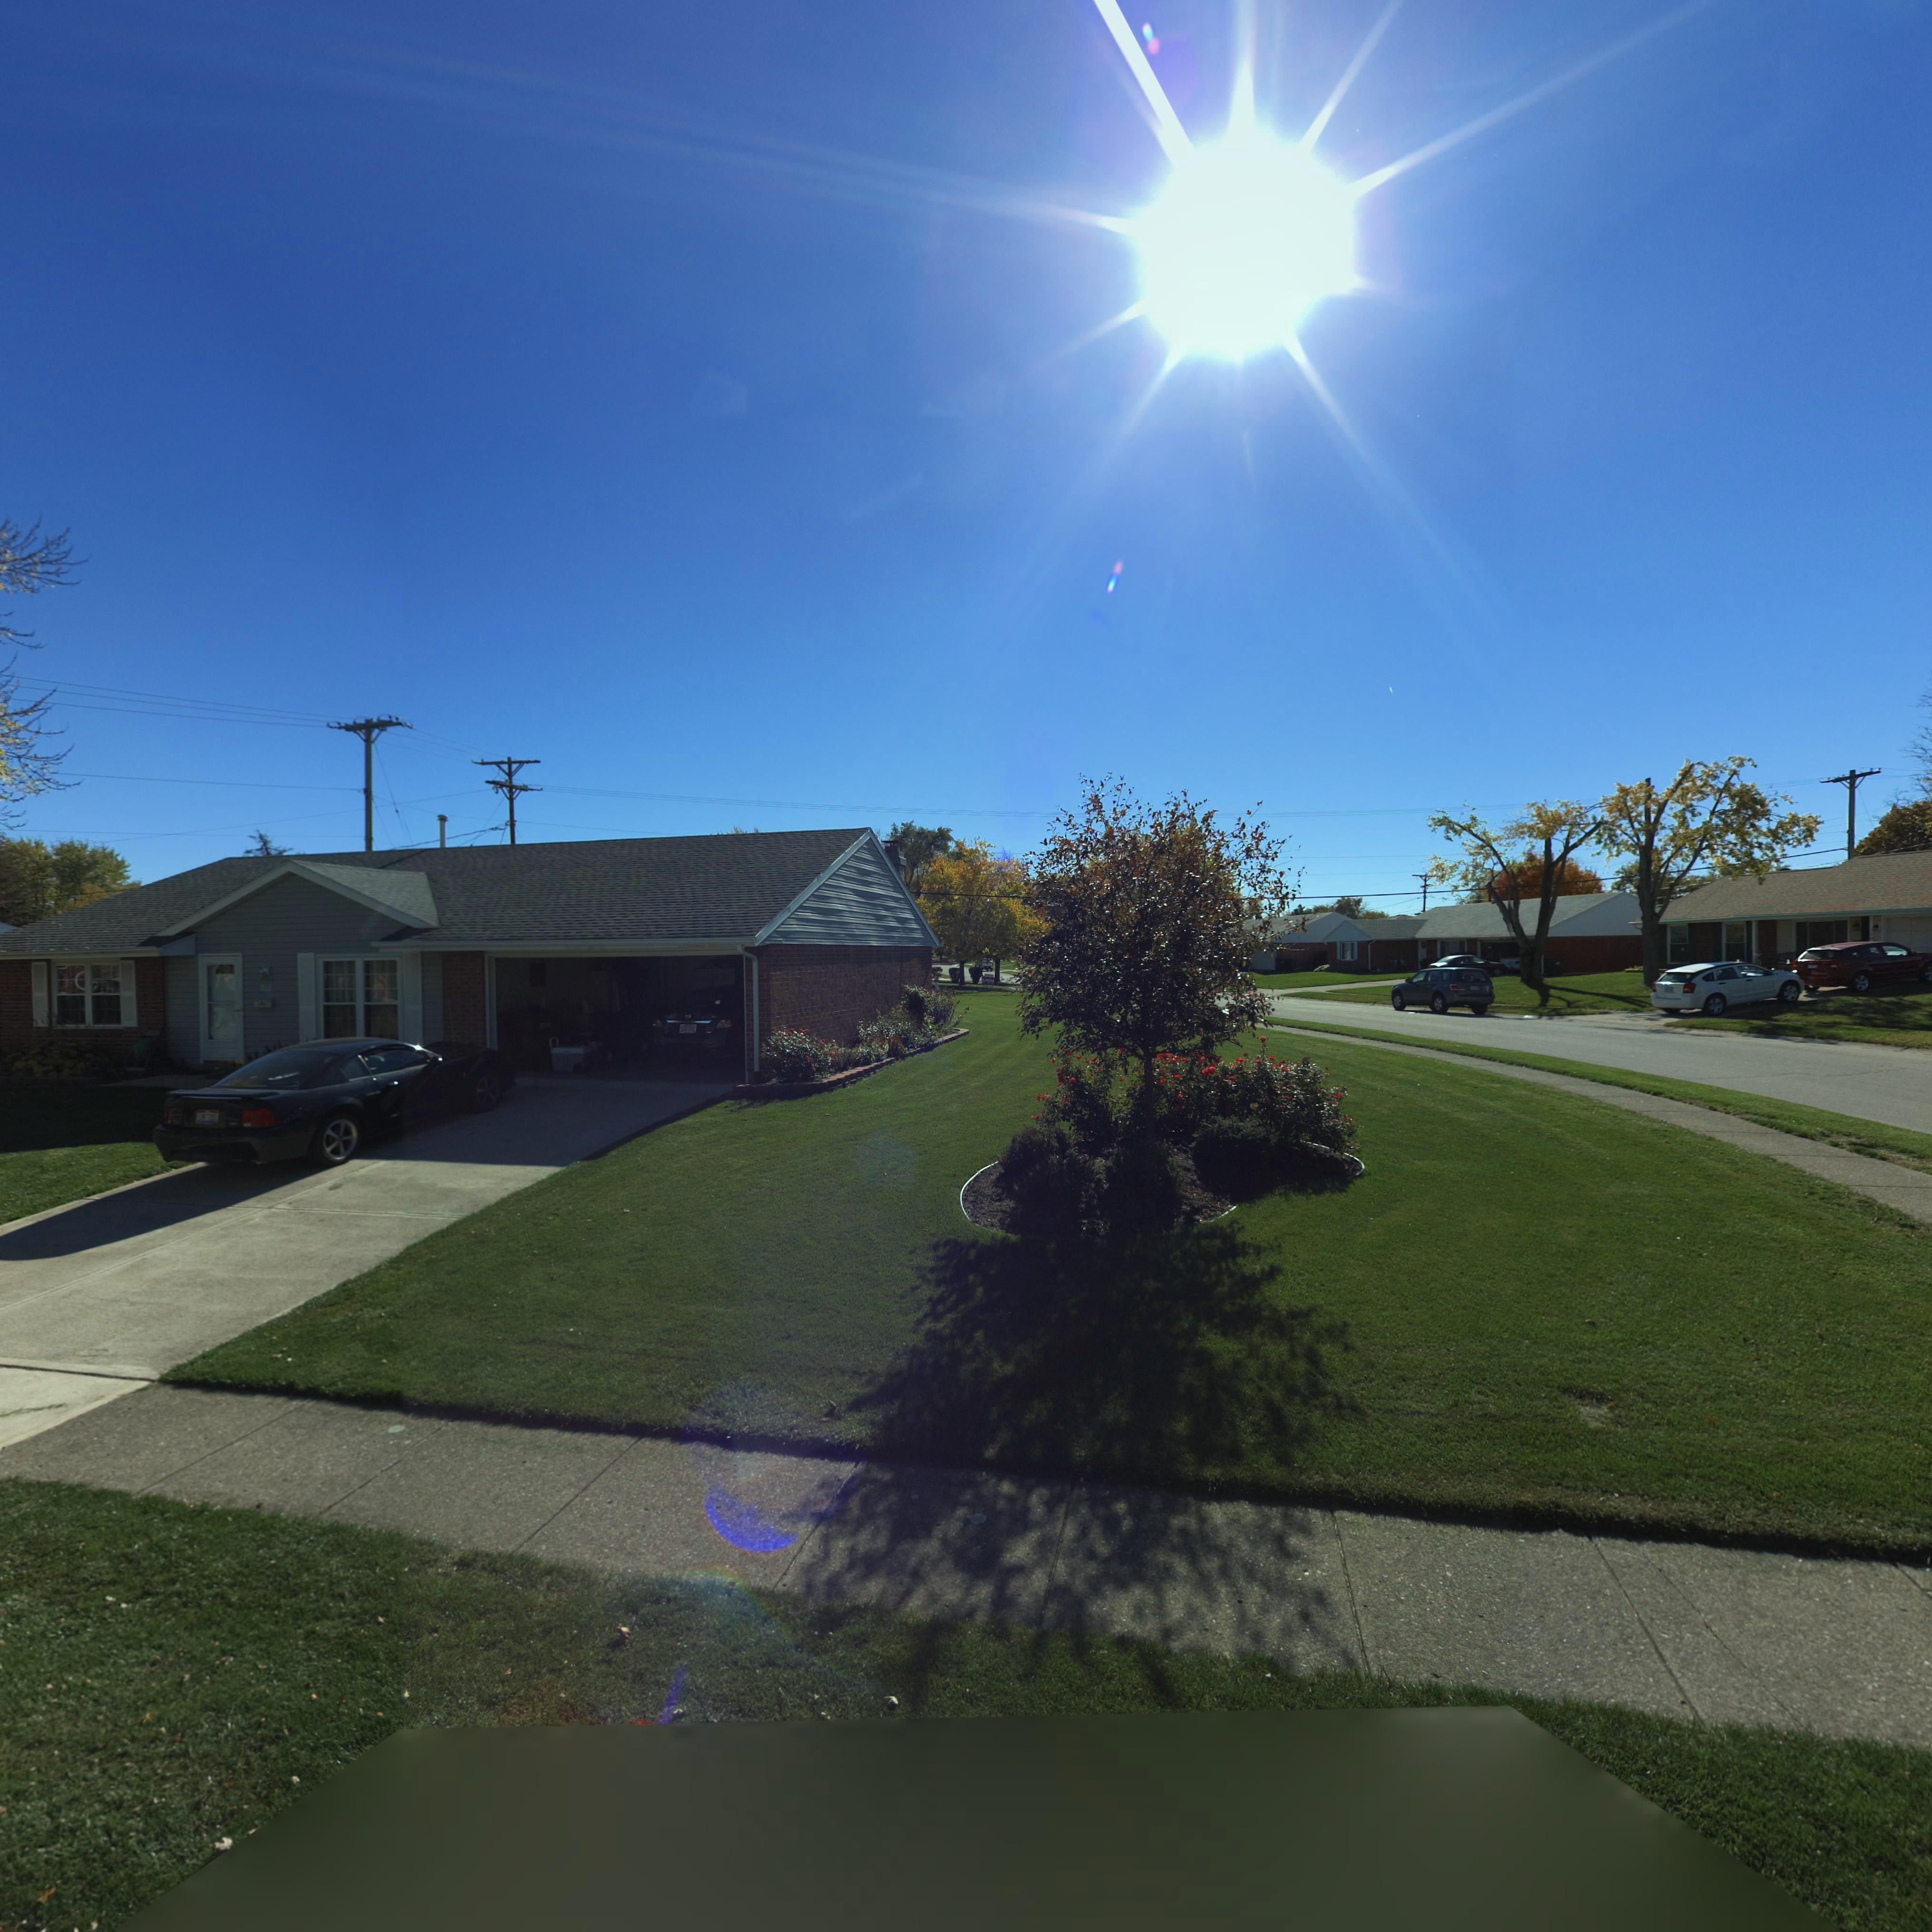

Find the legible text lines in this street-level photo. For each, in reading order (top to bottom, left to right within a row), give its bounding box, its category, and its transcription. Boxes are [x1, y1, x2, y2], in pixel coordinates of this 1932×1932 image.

[260, 984, 273, 992] StreetNumber: **5